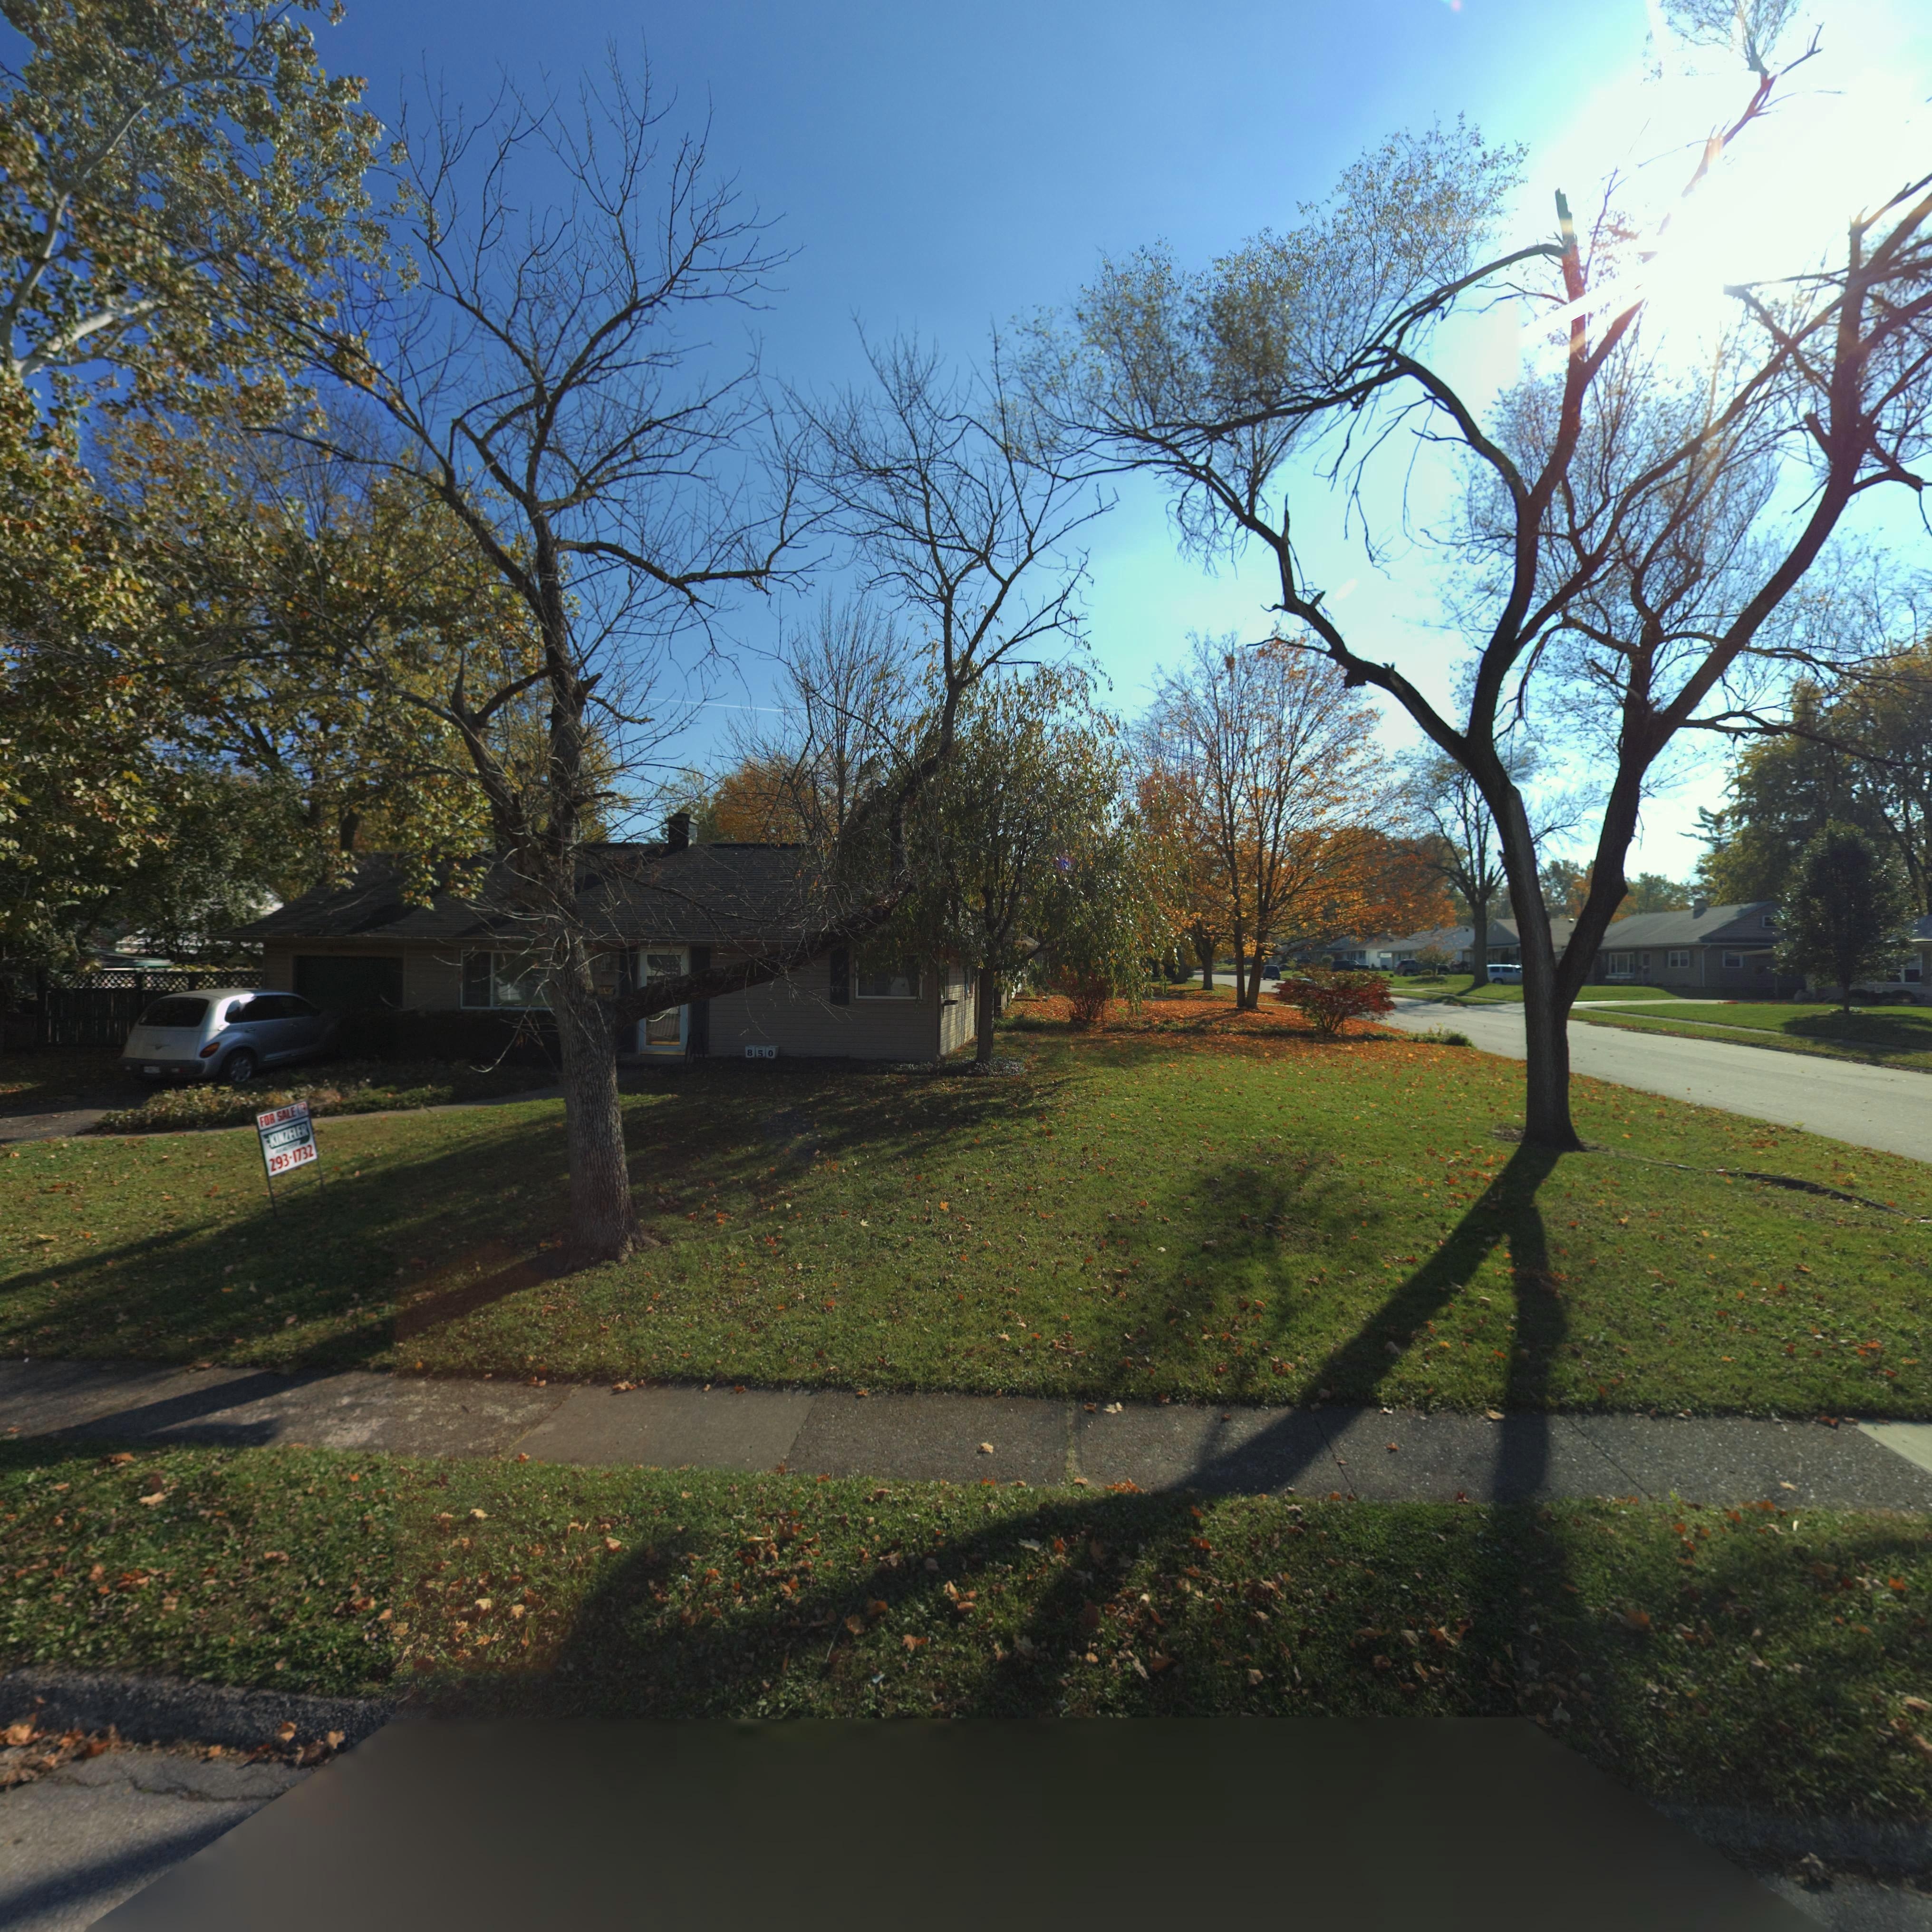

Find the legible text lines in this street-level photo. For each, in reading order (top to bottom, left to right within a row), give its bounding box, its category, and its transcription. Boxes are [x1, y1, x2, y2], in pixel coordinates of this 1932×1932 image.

[600, 971, 616, 978] StreetNumber: 850
[746, 1049, 774, 1057] StreetNumber: 850
[258, 1106, 298, 1128] None: FOR SALE
[267, 1122, 309, 1149] None: KINZELER
[268, 1143, 314, 1173] None: 293-1732